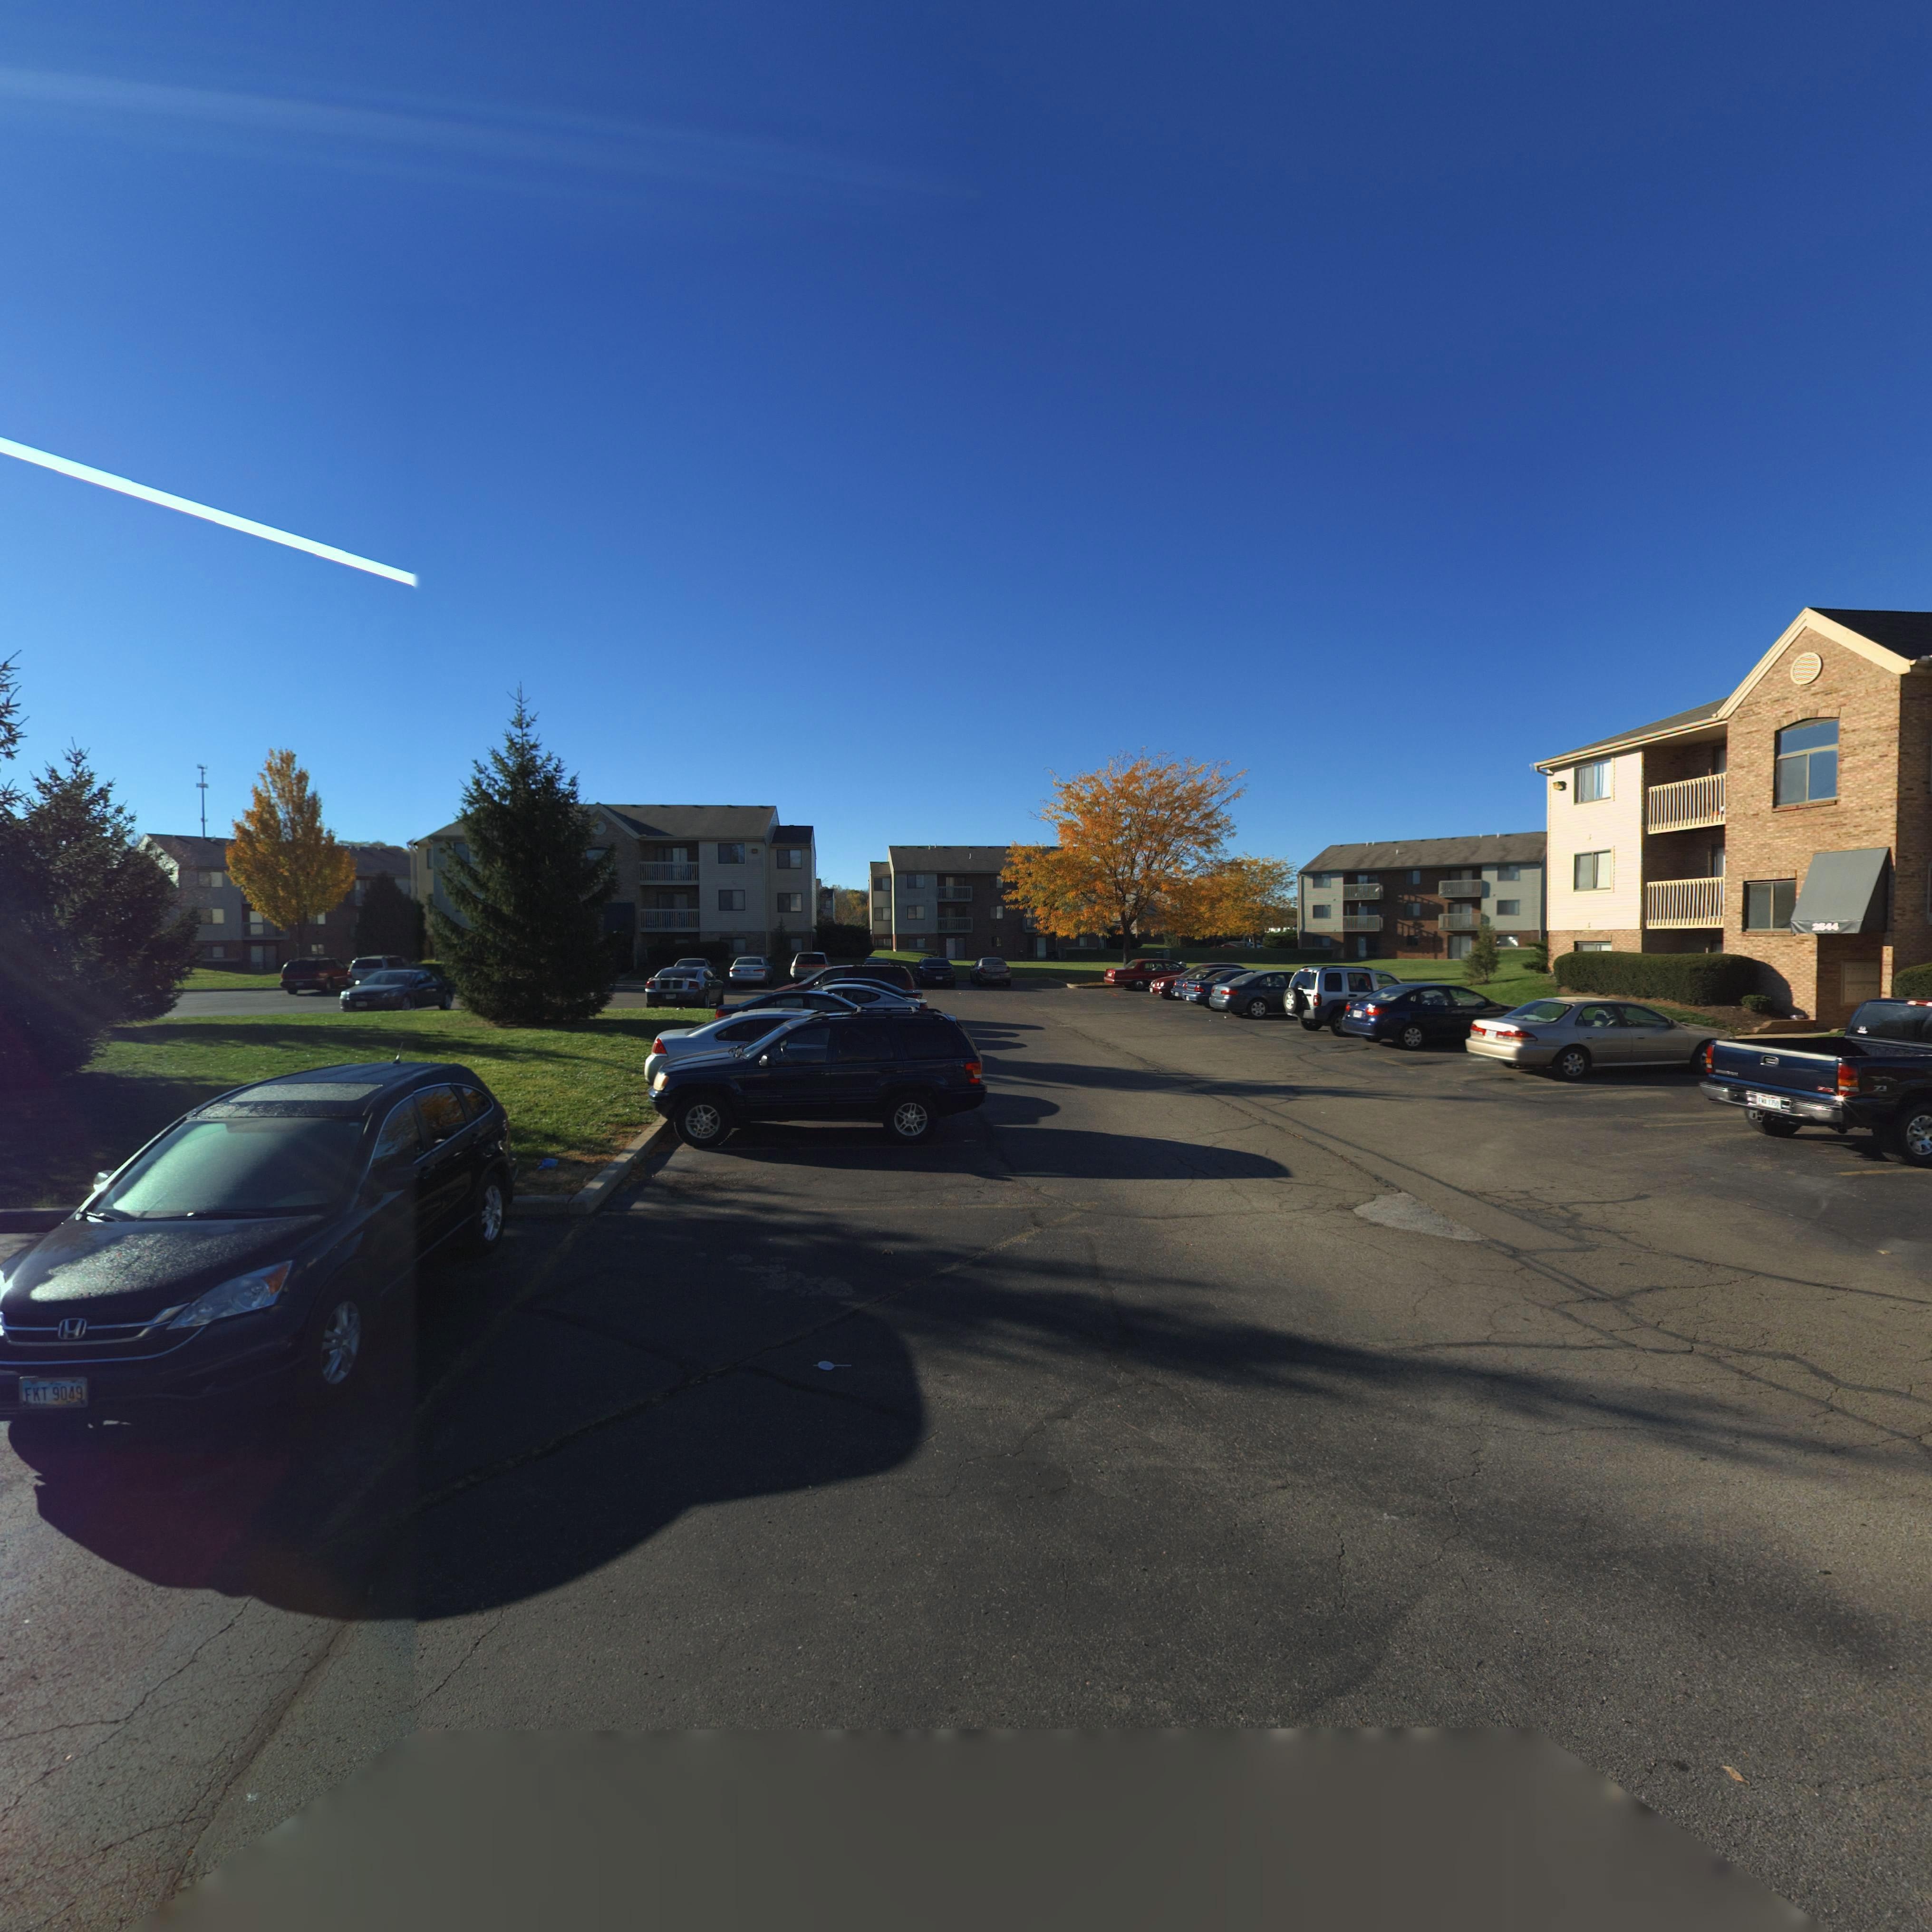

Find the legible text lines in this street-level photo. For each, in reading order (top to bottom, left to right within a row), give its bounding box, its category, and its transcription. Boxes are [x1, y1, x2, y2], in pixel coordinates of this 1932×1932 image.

[1811, 922, 1840, 931] StreetNumber: 2*44